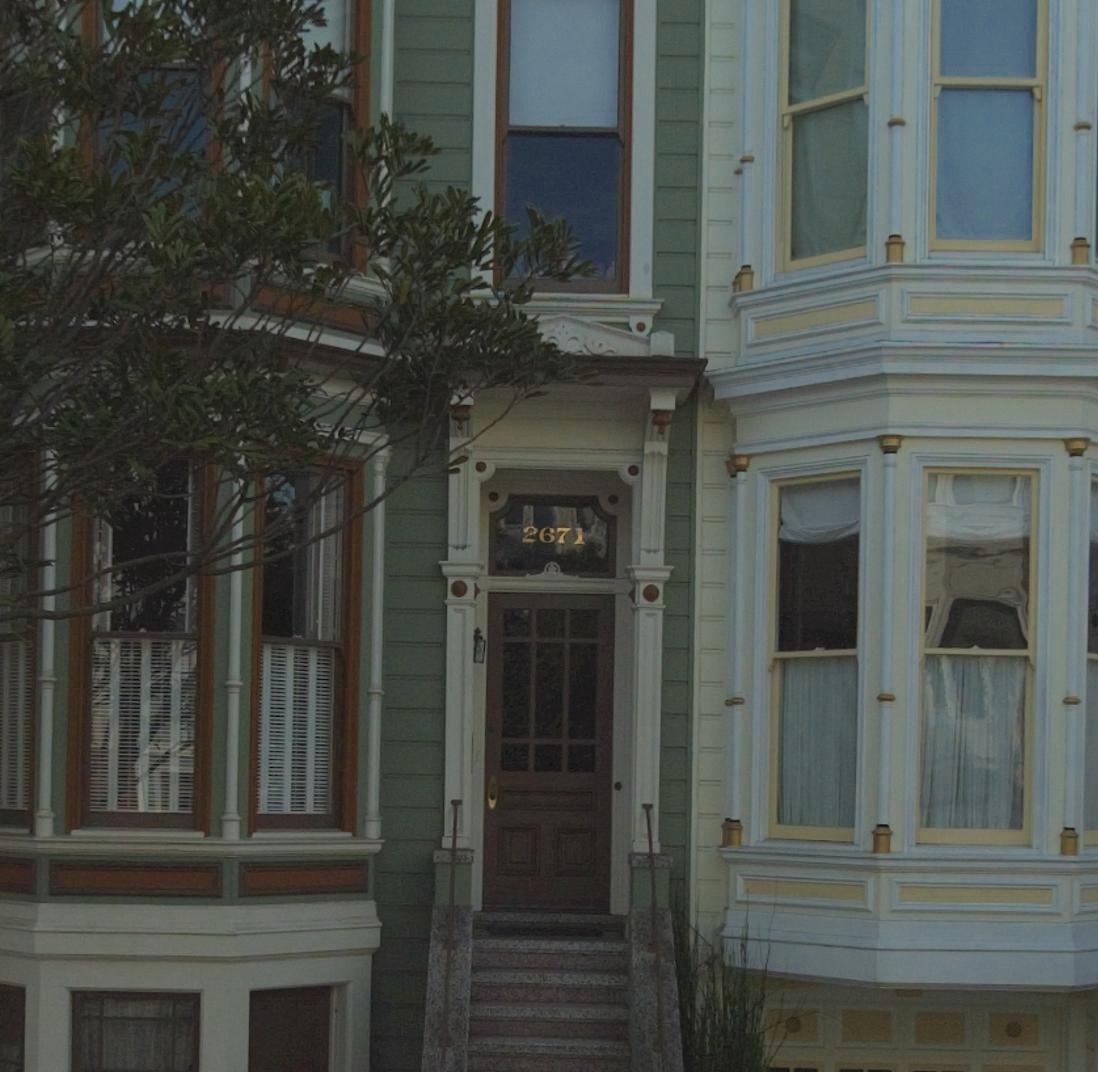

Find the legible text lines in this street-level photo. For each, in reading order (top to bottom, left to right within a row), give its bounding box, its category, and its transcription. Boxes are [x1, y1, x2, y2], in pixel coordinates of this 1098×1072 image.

[520, 524, 587, 546] StreetNumber: 2671